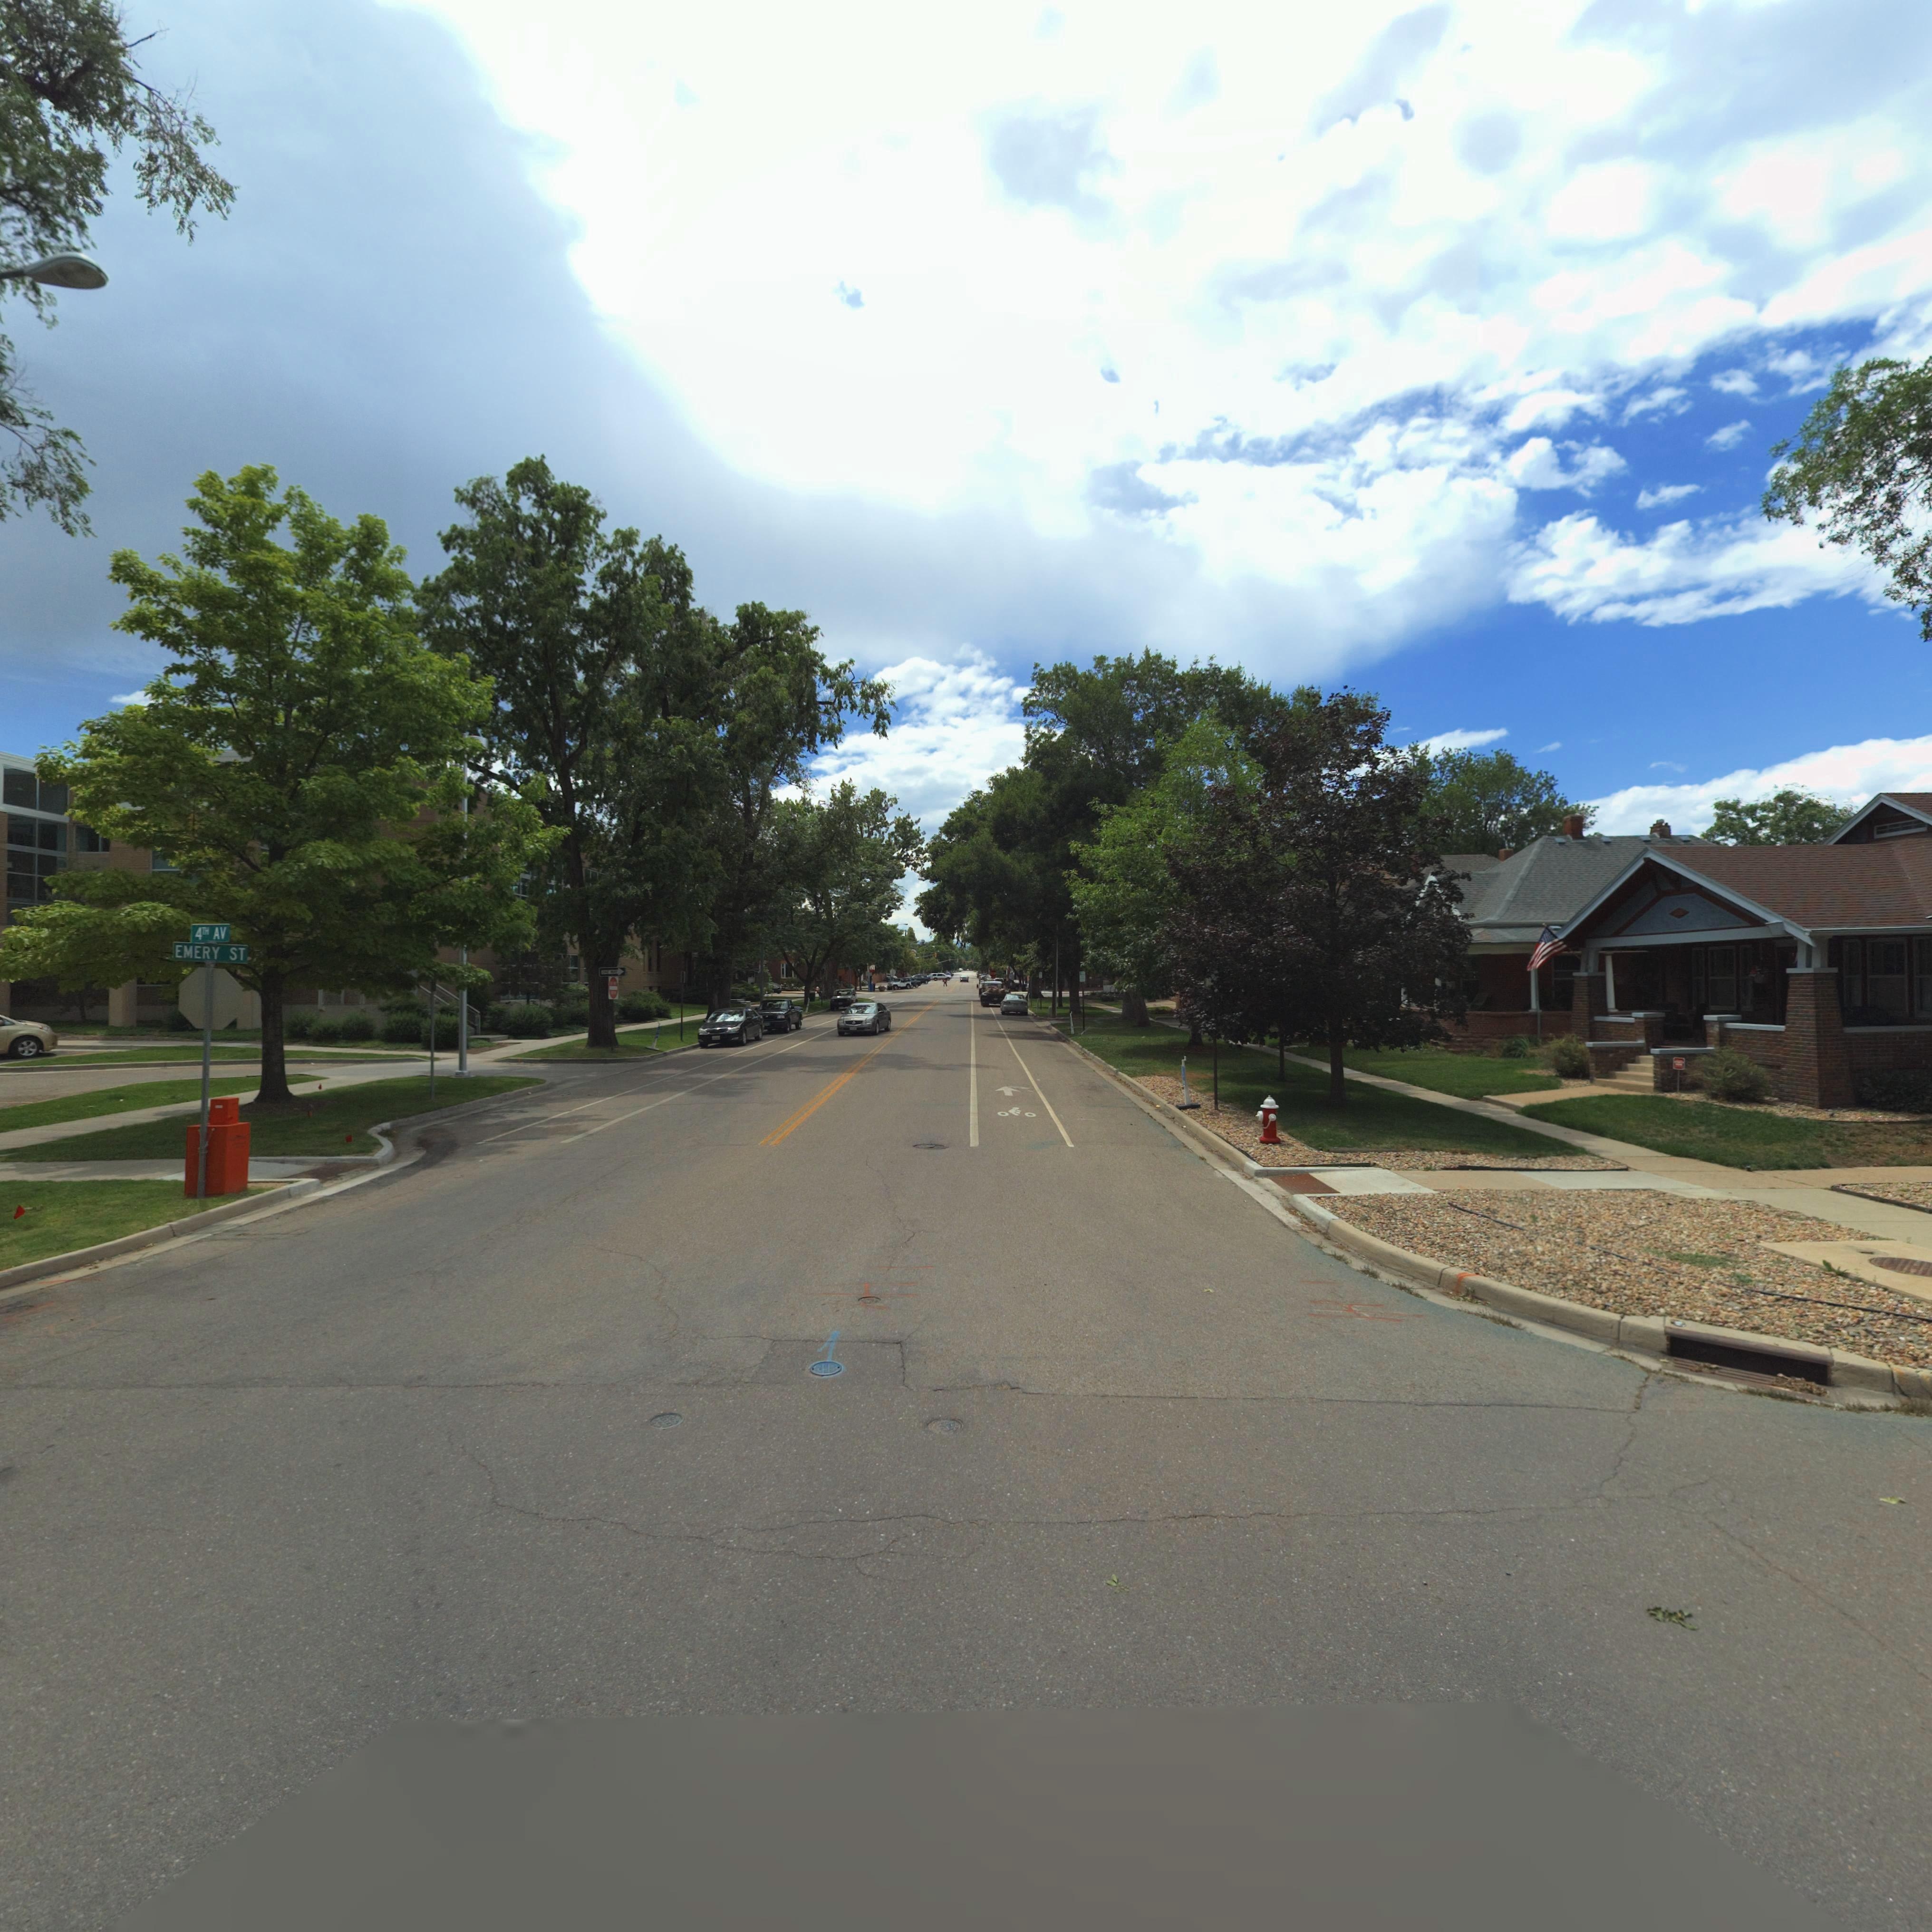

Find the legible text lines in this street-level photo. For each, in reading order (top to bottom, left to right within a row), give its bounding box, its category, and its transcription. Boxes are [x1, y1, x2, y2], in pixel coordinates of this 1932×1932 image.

[193, 925, 228, 940] StreetNumber: 4TH AV
[174, 944, 246, 962] StreetName: EMERY ST